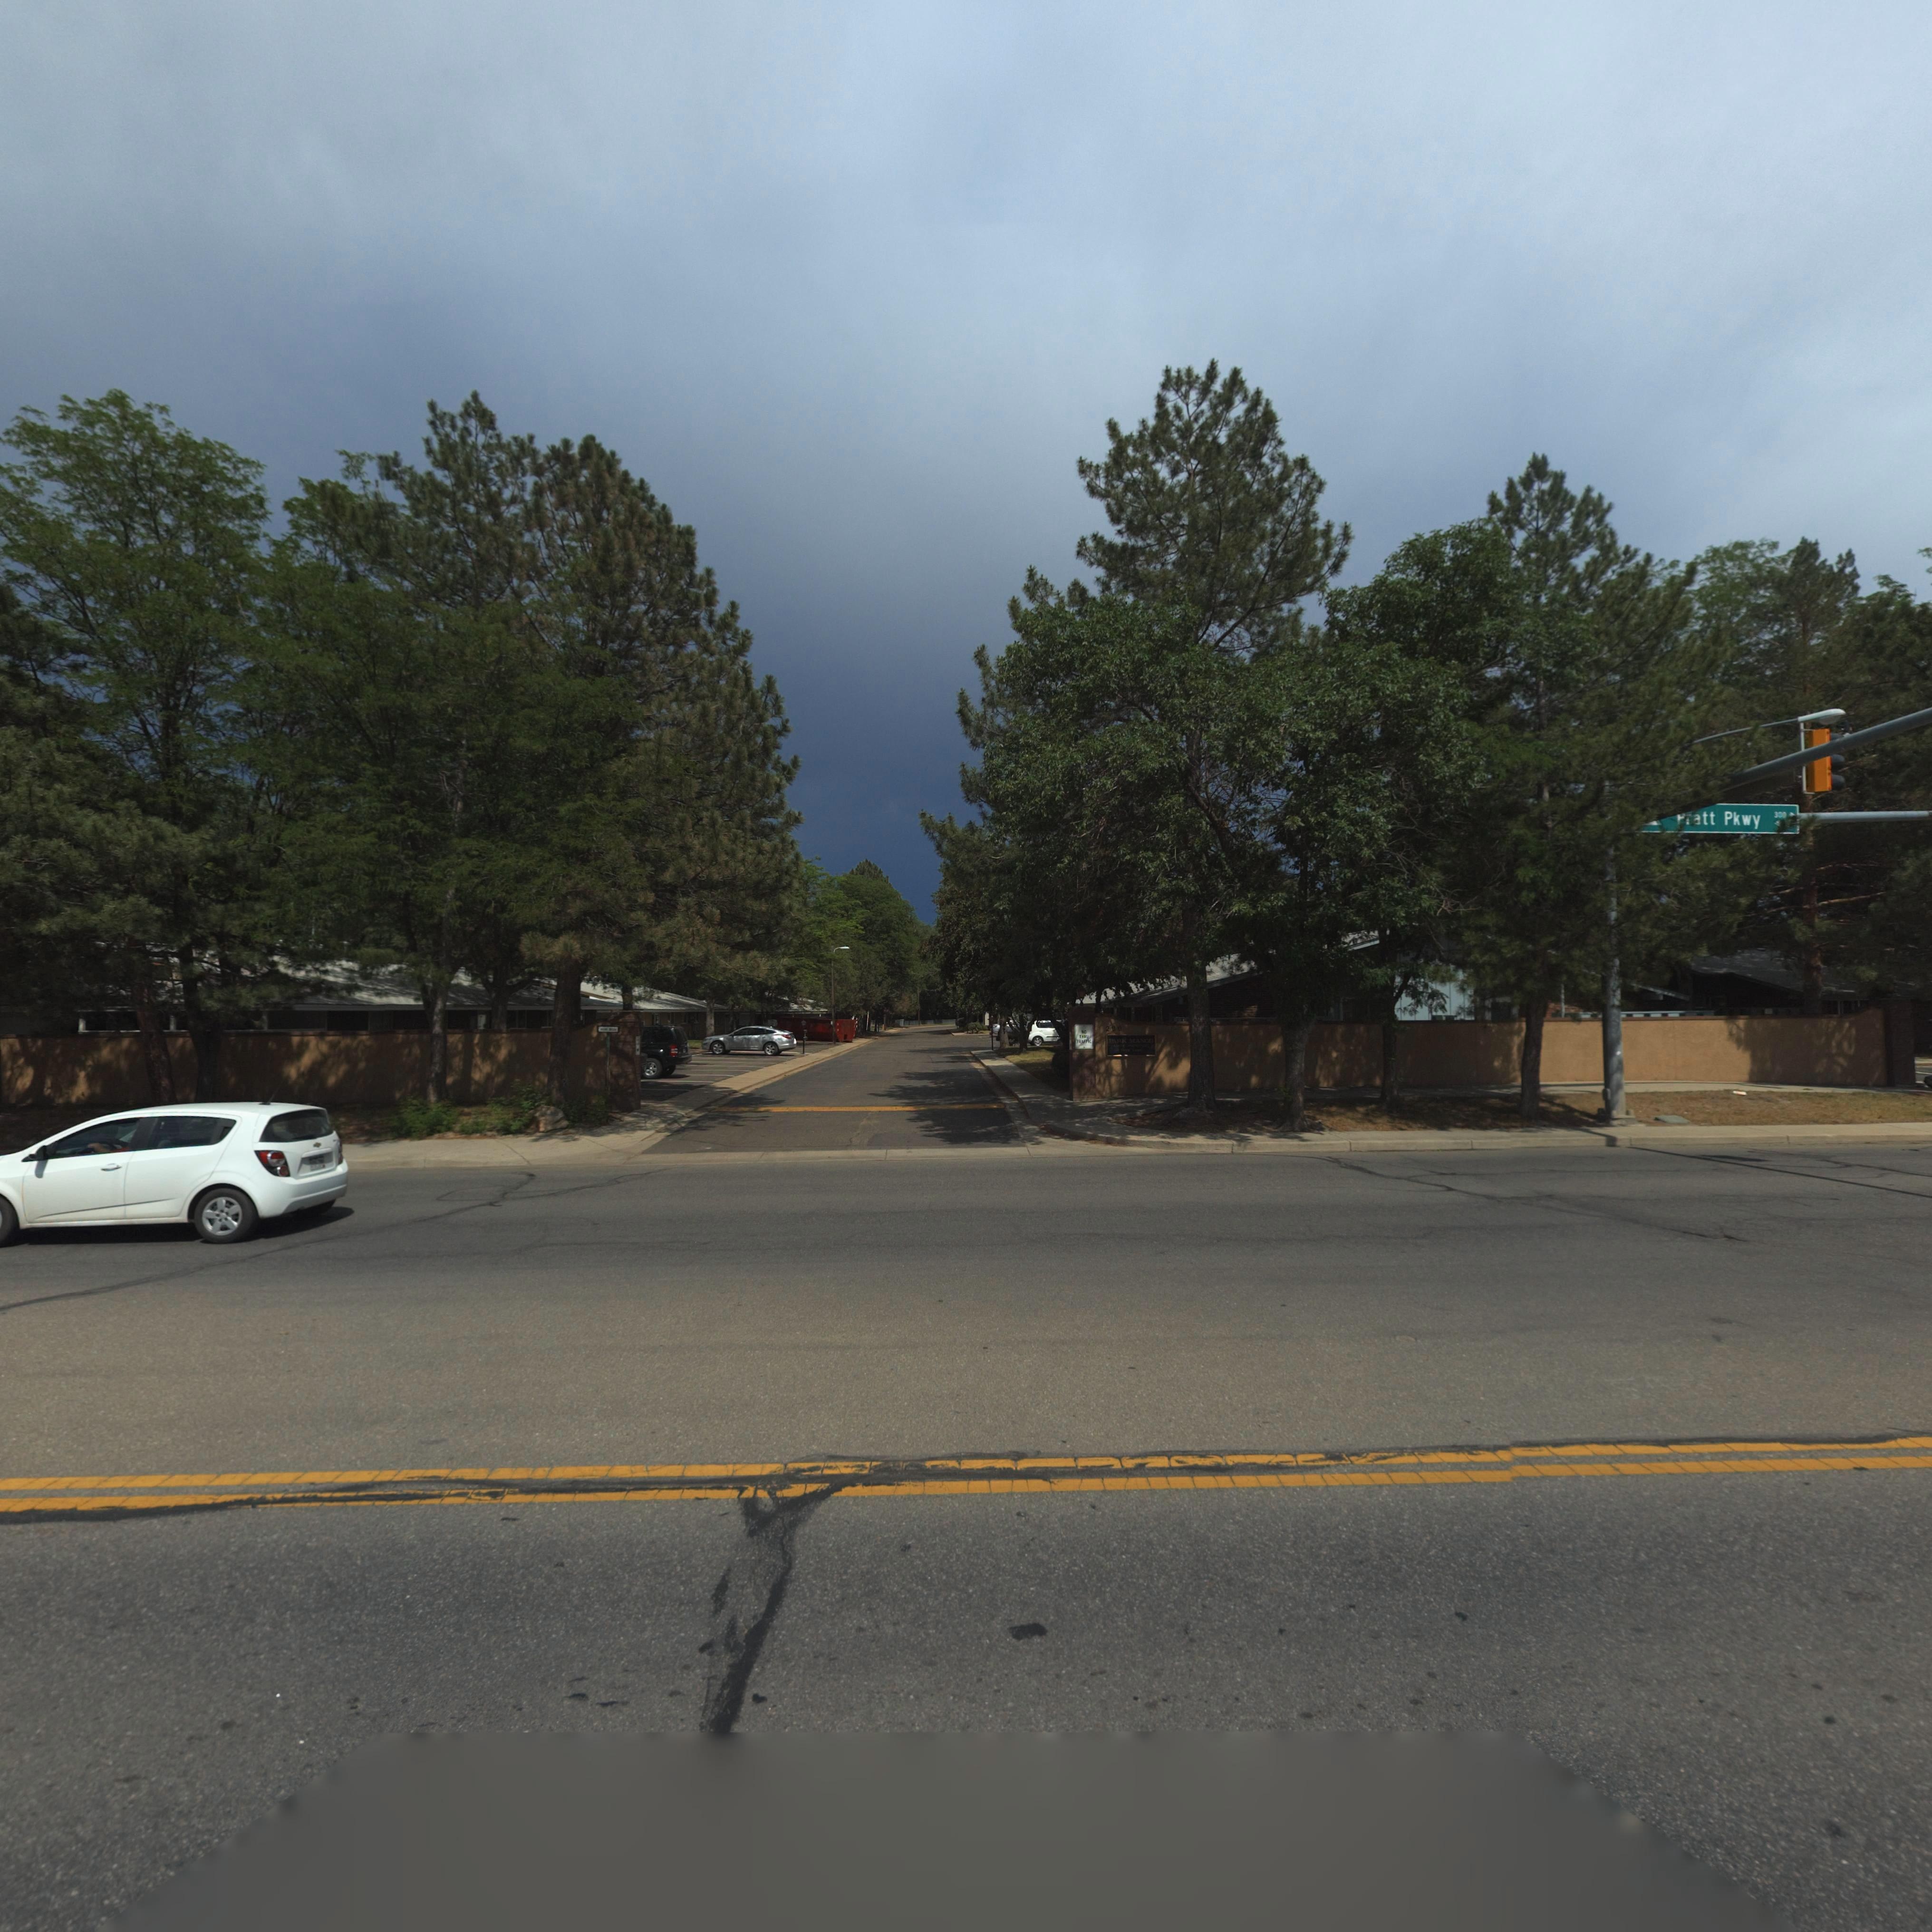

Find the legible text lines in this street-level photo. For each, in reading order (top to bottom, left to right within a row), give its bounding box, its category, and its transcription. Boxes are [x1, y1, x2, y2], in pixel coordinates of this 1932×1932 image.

[1773, 811, 1796, 819] StreetNumberRange: 300 ->
[1677, 810, 1761, 830] StreetName: *ratt Pkwy
[1105, 1025, 1122, 1031] StreetNumber: 200